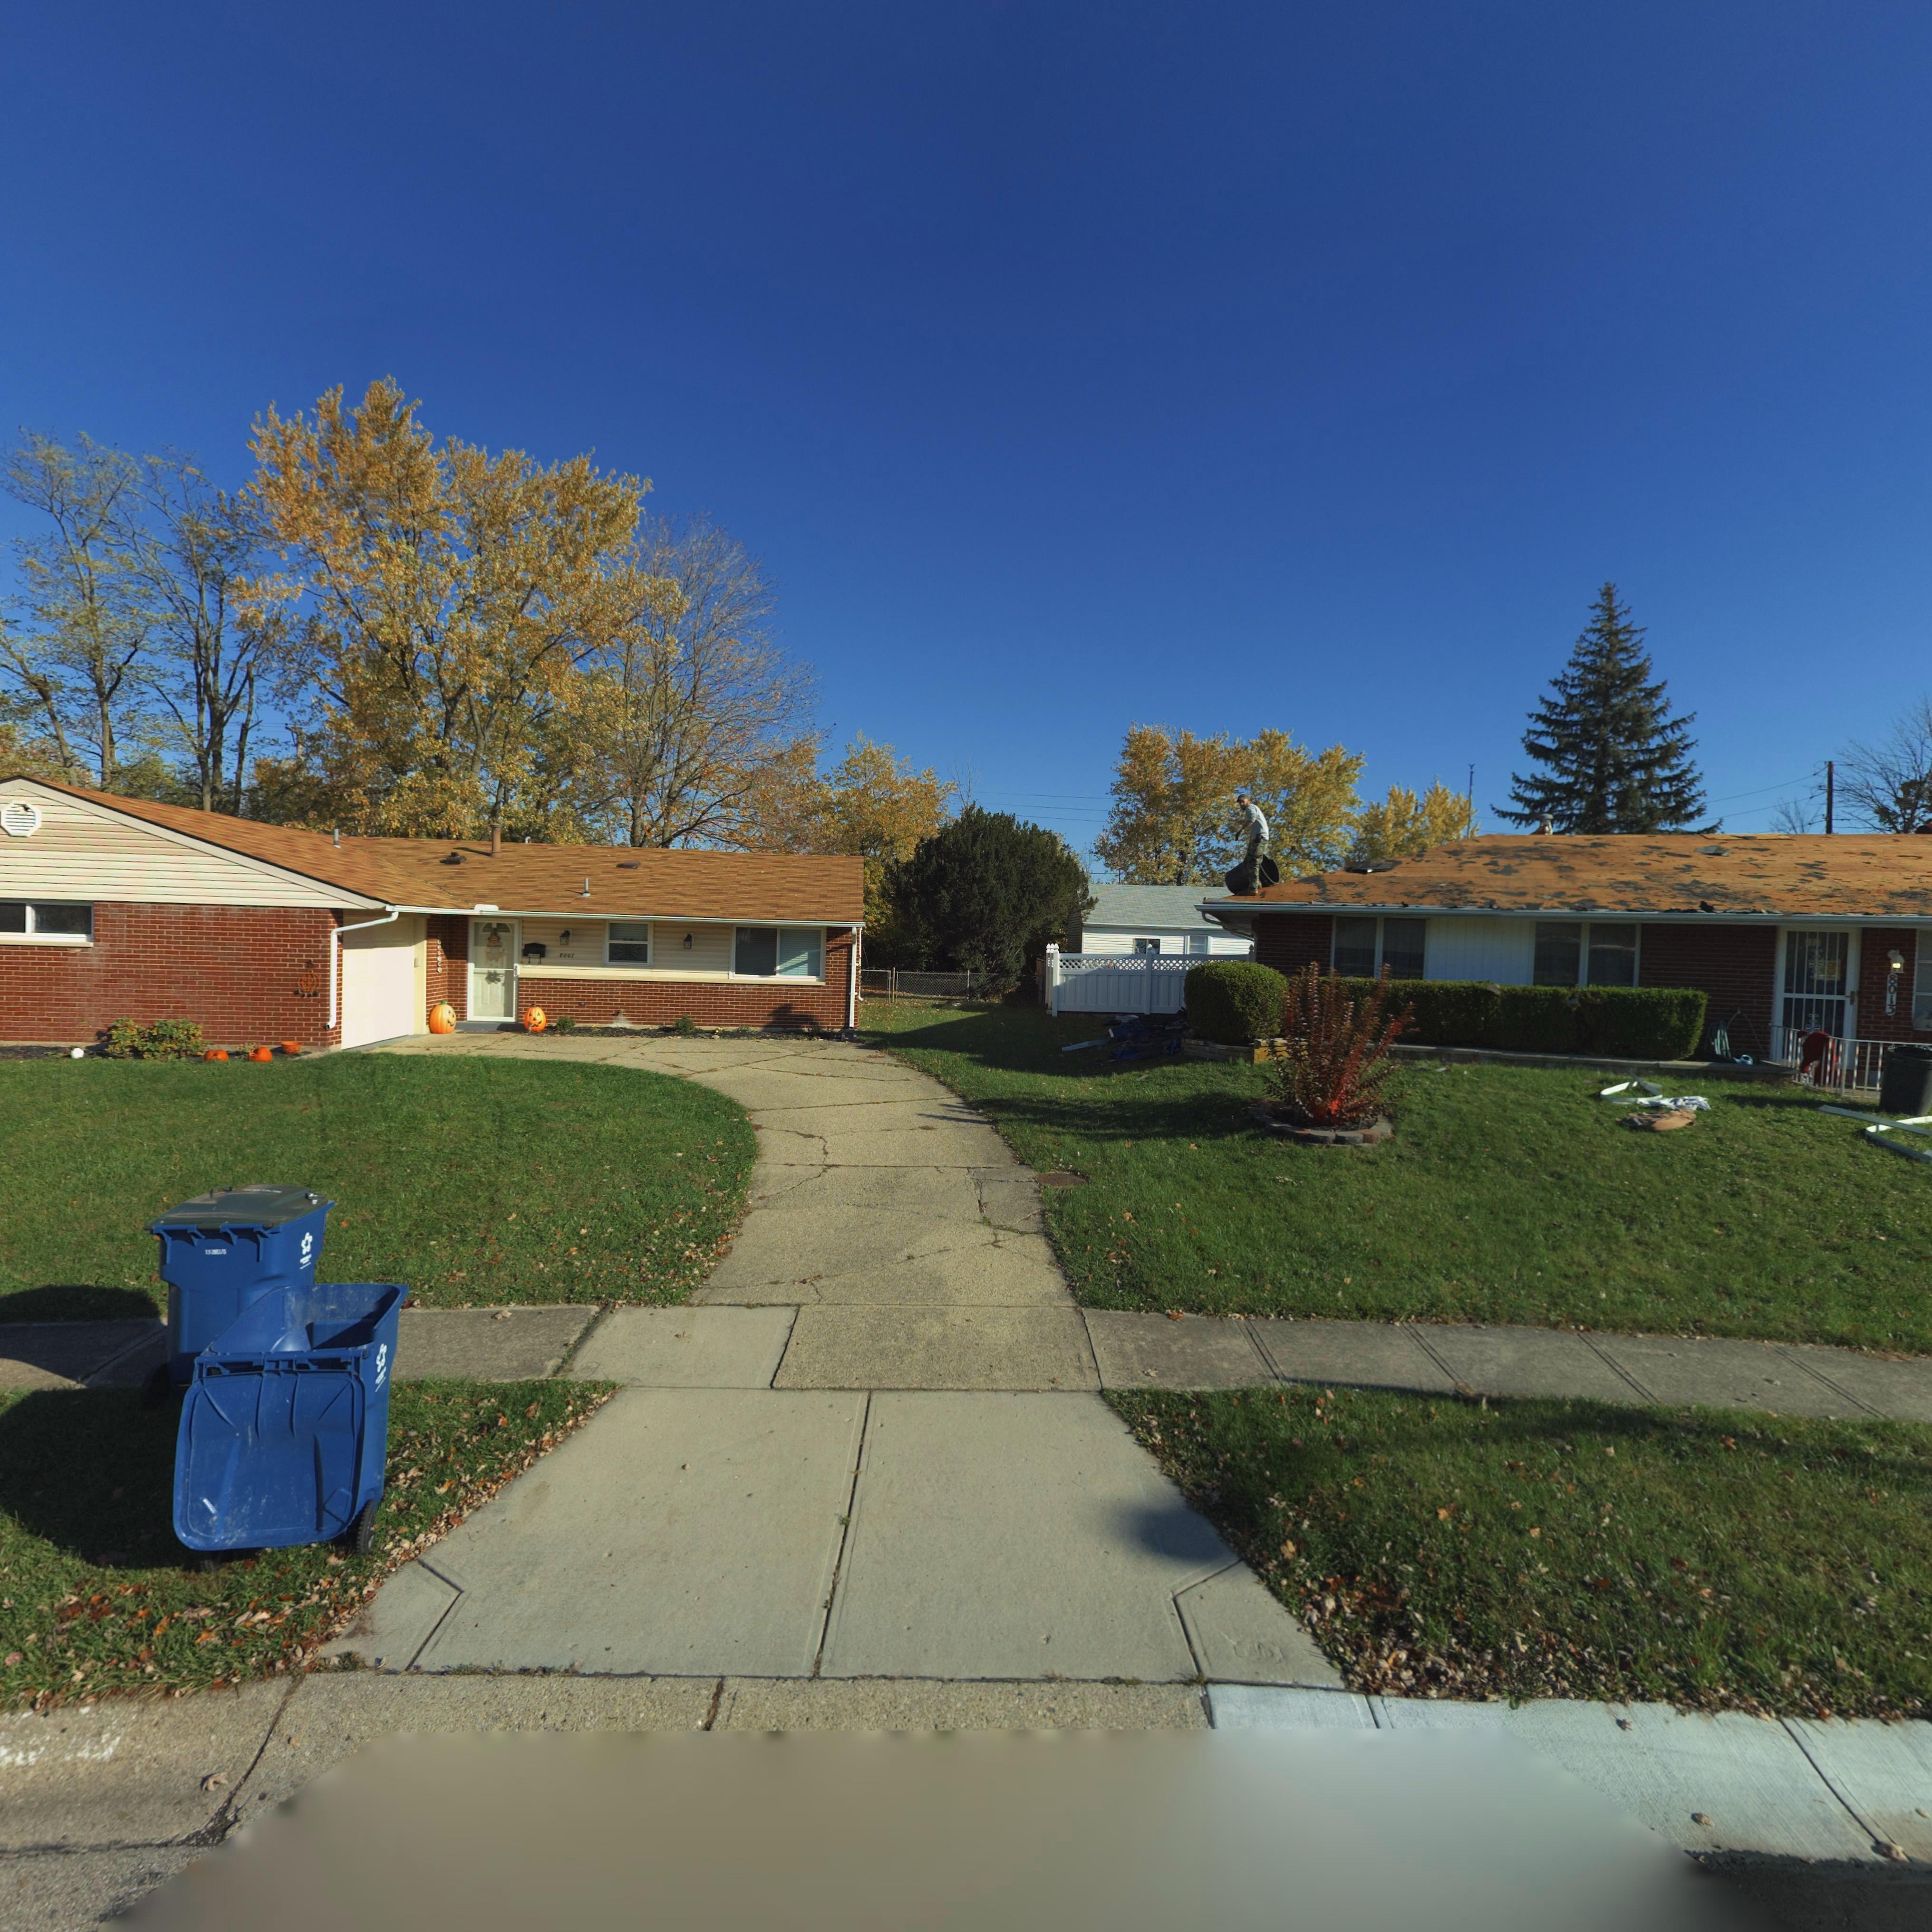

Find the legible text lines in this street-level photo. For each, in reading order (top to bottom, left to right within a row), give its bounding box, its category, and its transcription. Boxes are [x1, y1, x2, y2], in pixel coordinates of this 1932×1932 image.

[558, 952, 576, 959] StreetNumber: 8007
[1885, 973, 1898, 1016] StreetNumber: 8013